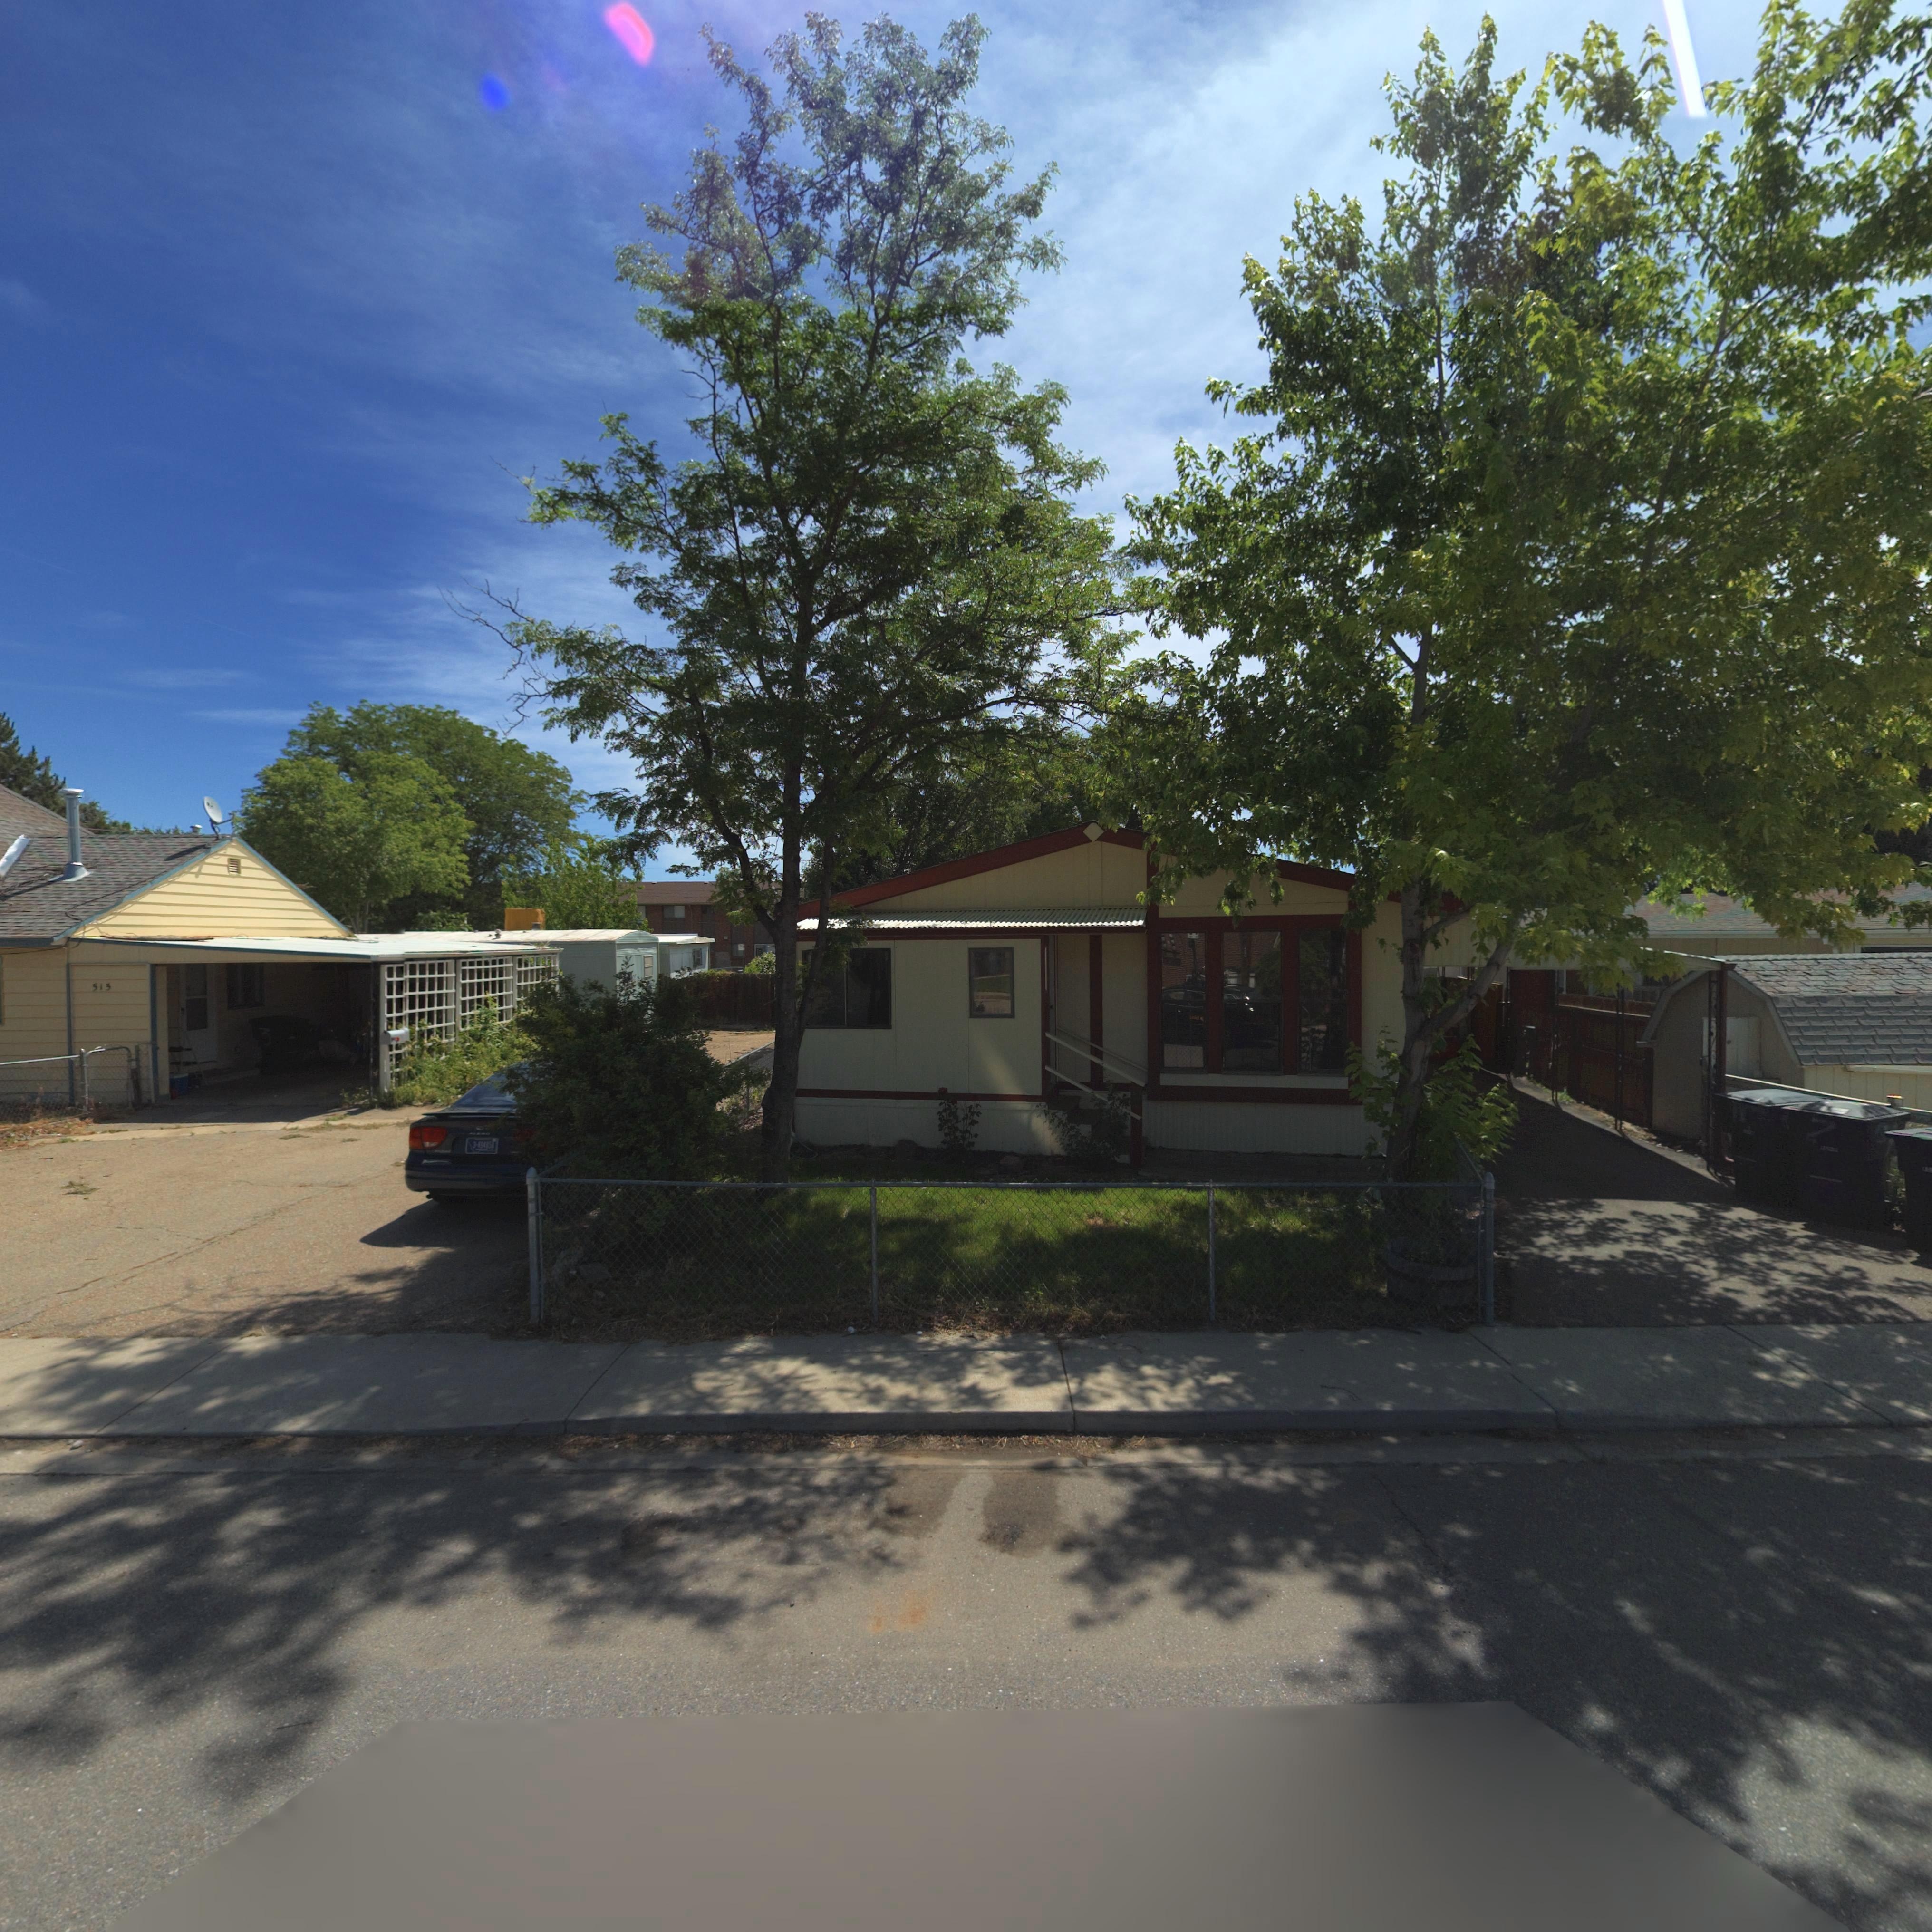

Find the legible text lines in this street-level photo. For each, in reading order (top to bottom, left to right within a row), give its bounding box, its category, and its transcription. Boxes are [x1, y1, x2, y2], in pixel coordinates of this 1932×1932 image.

[92, 983, 111, 991] StreetNumber: 515